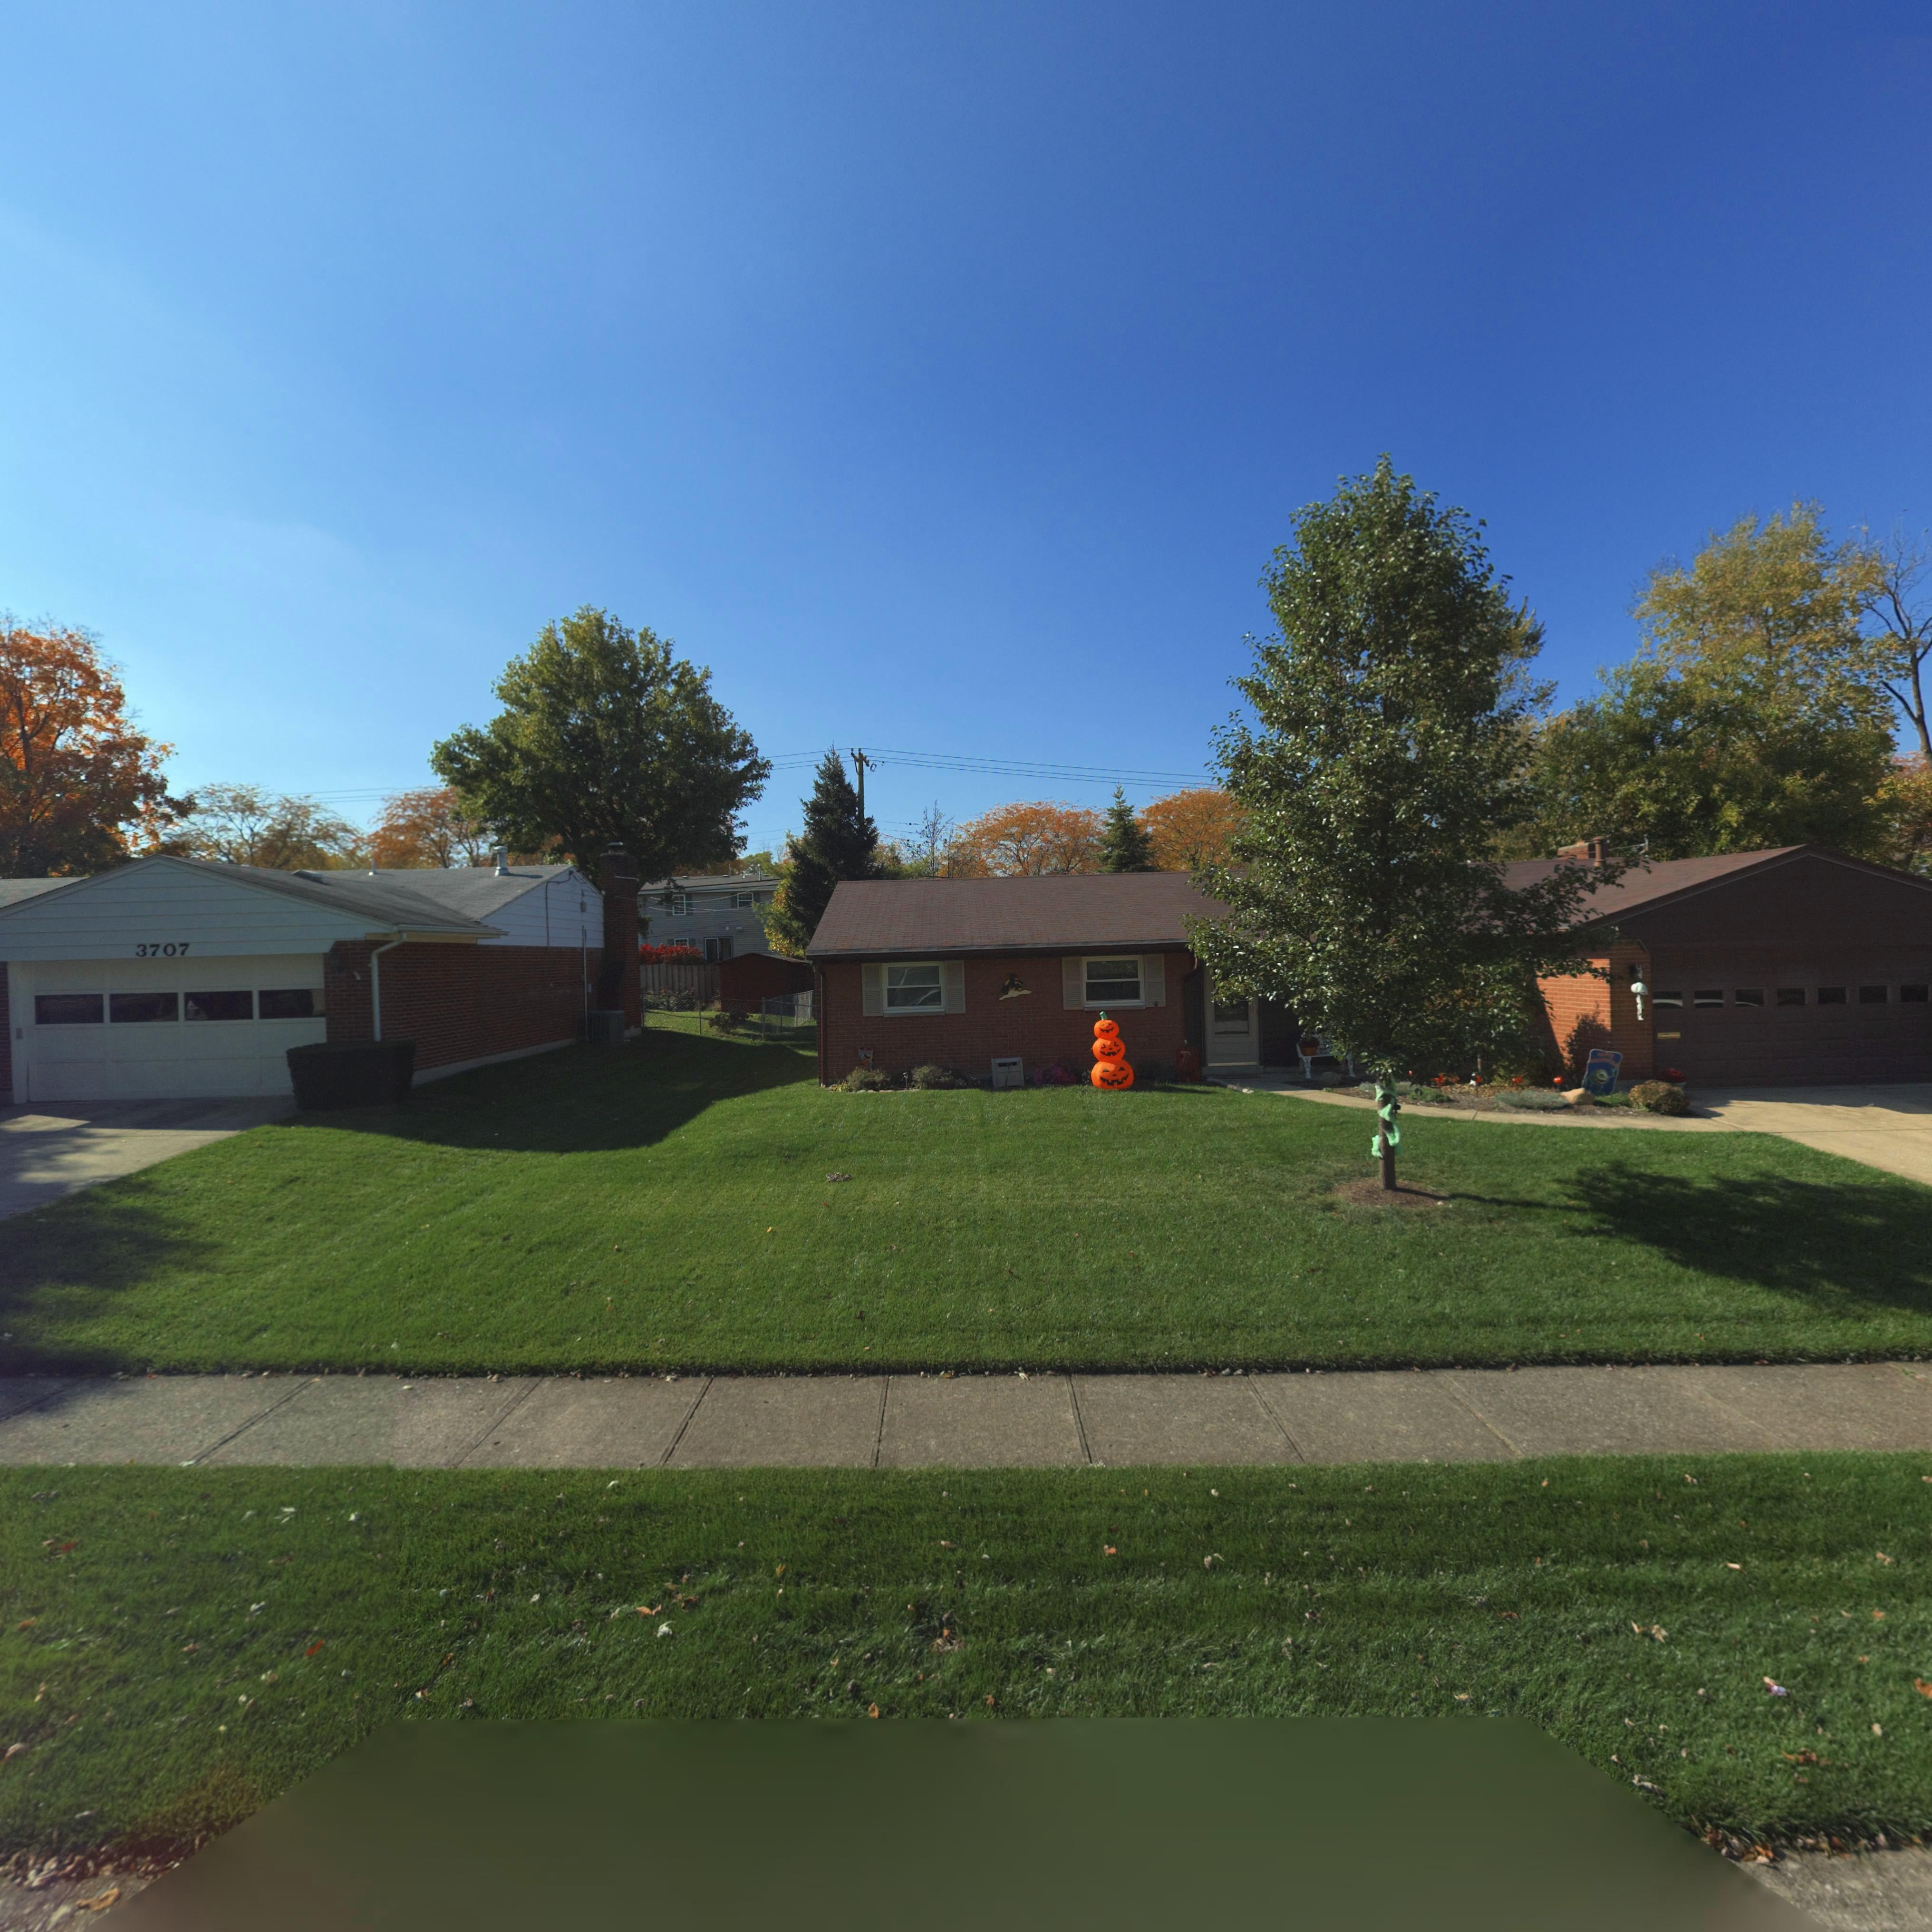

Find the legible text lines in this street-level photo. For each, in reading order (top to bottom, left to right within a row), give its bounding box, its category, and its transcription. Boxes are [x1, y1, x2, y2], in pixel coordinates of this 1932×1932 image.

[133, 940, 192, 959] StreetNumber: 3707